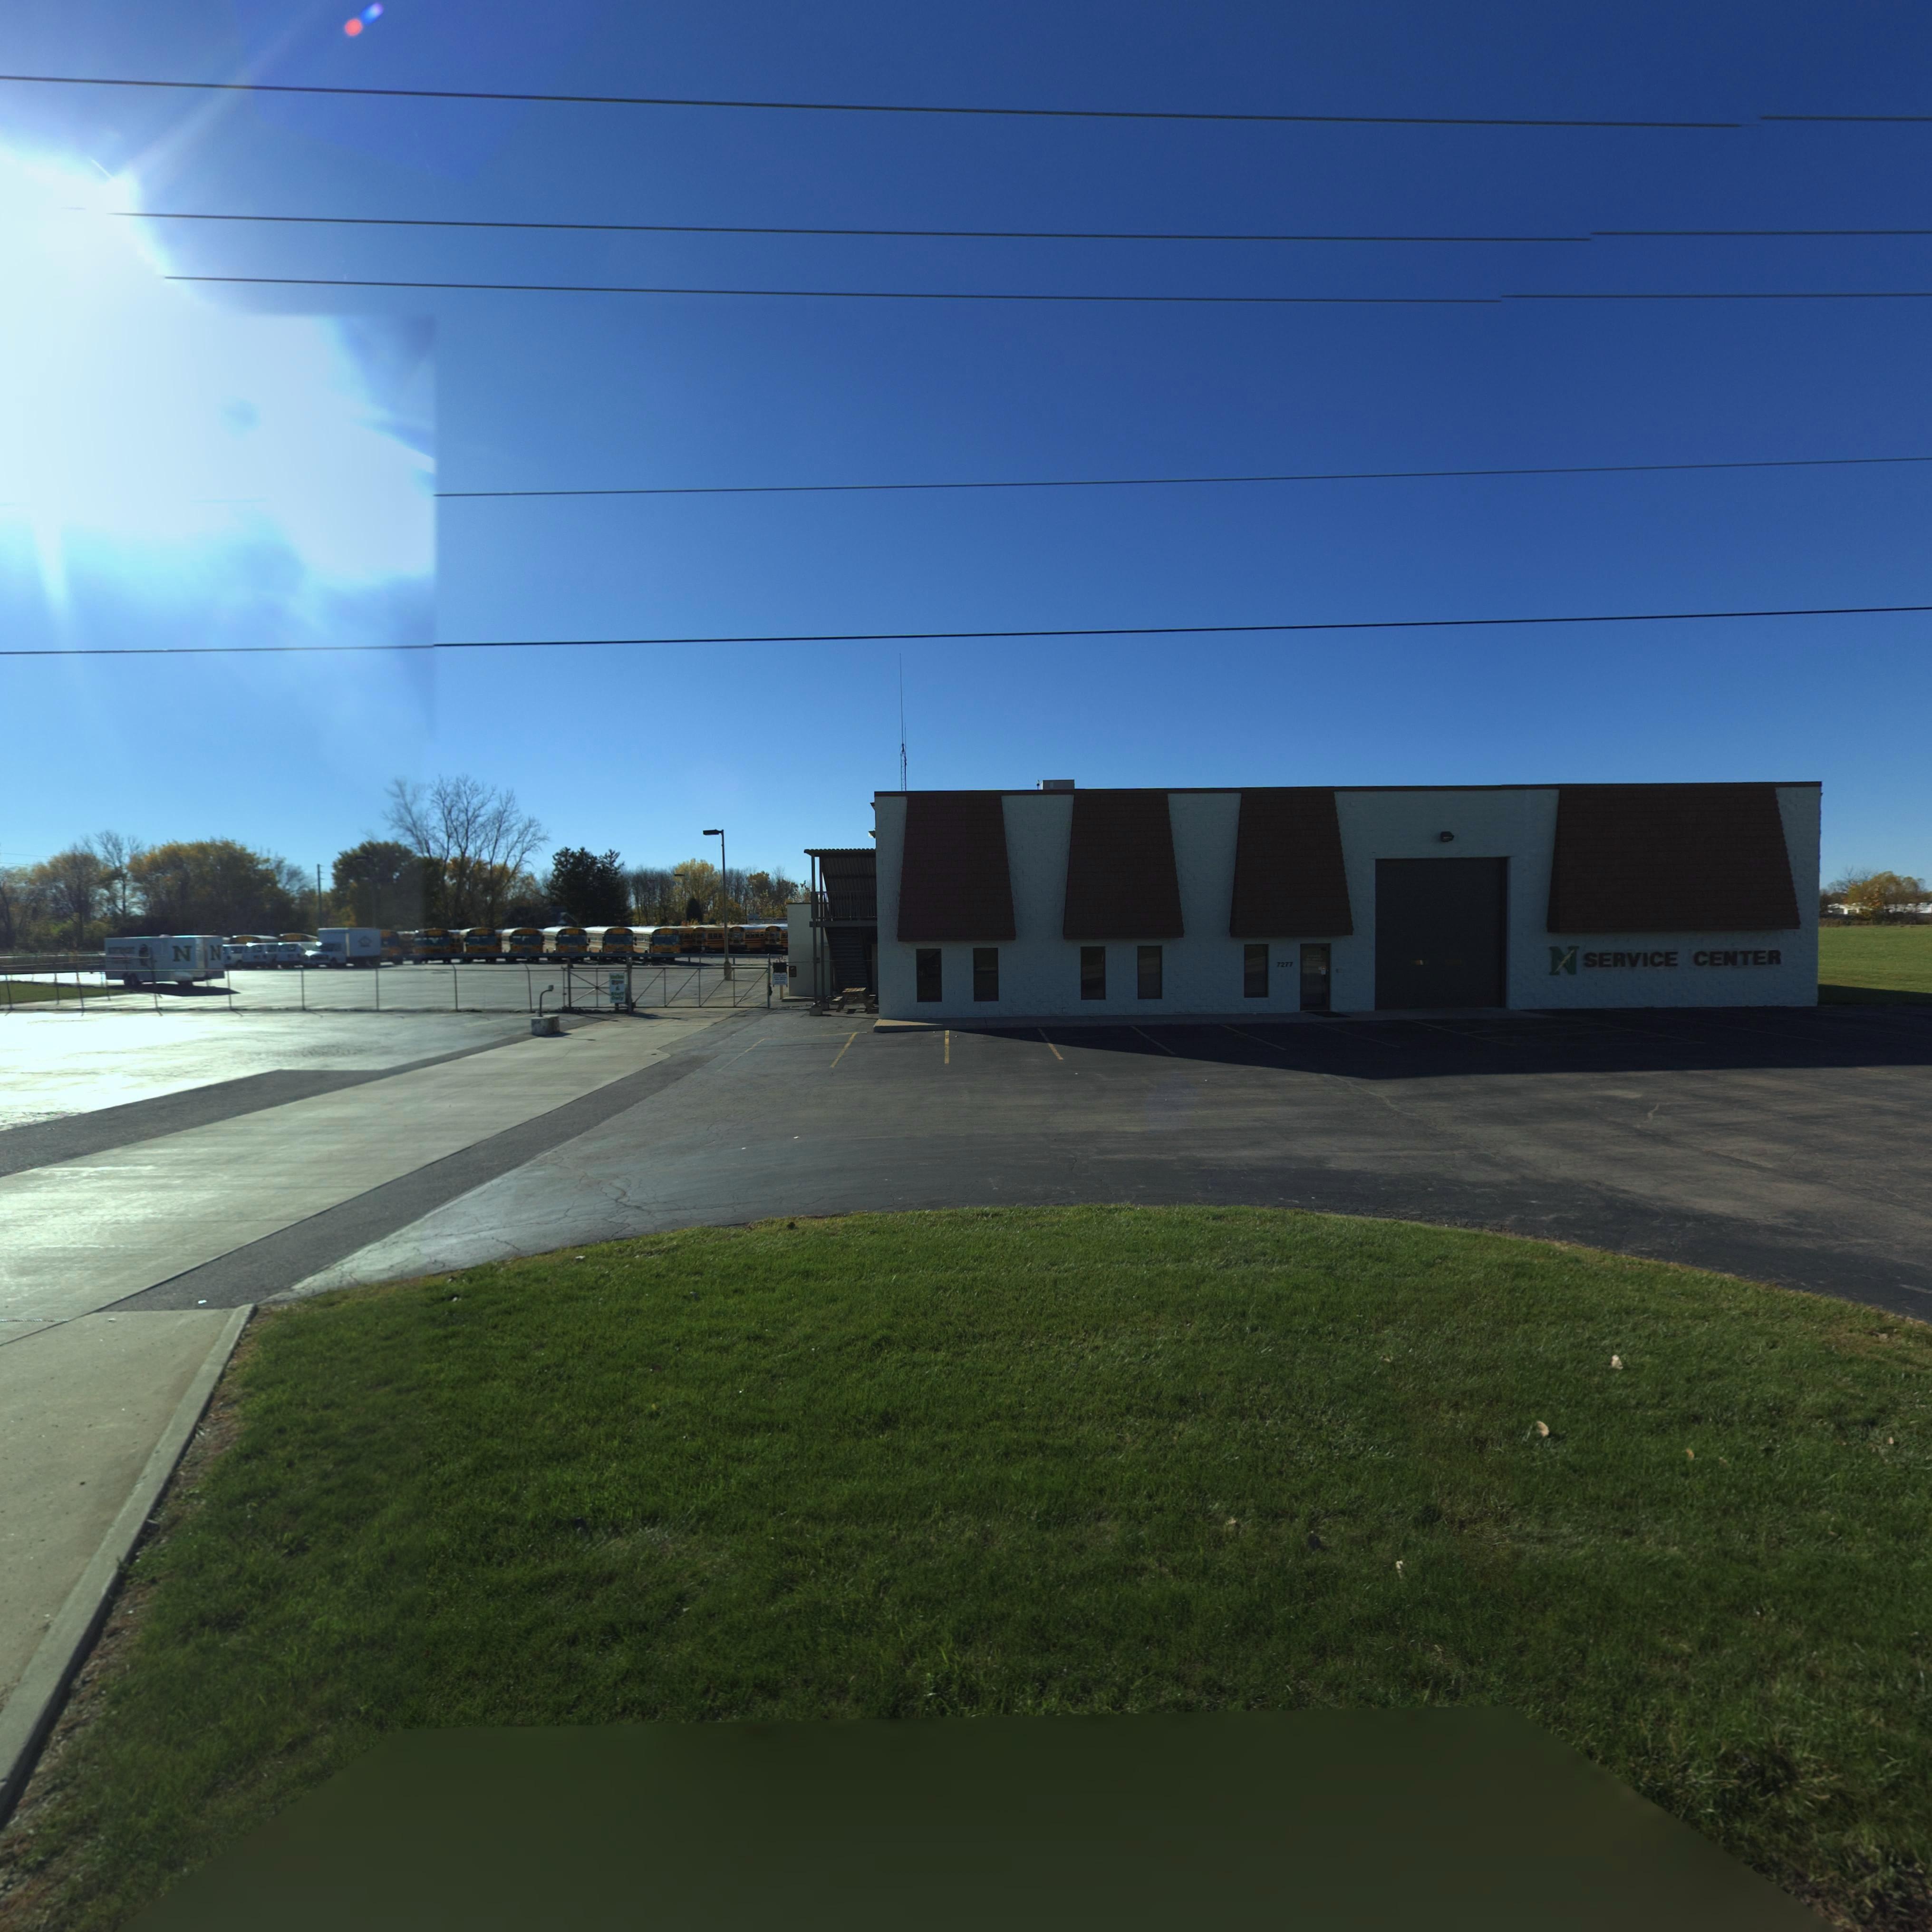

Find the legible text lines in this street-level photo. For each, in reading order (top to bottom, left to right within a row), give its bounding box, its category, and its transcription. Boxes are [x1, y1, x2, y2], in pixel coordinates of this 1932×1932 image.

[1276, 961, 1294, 967] StreetNumber: 7277